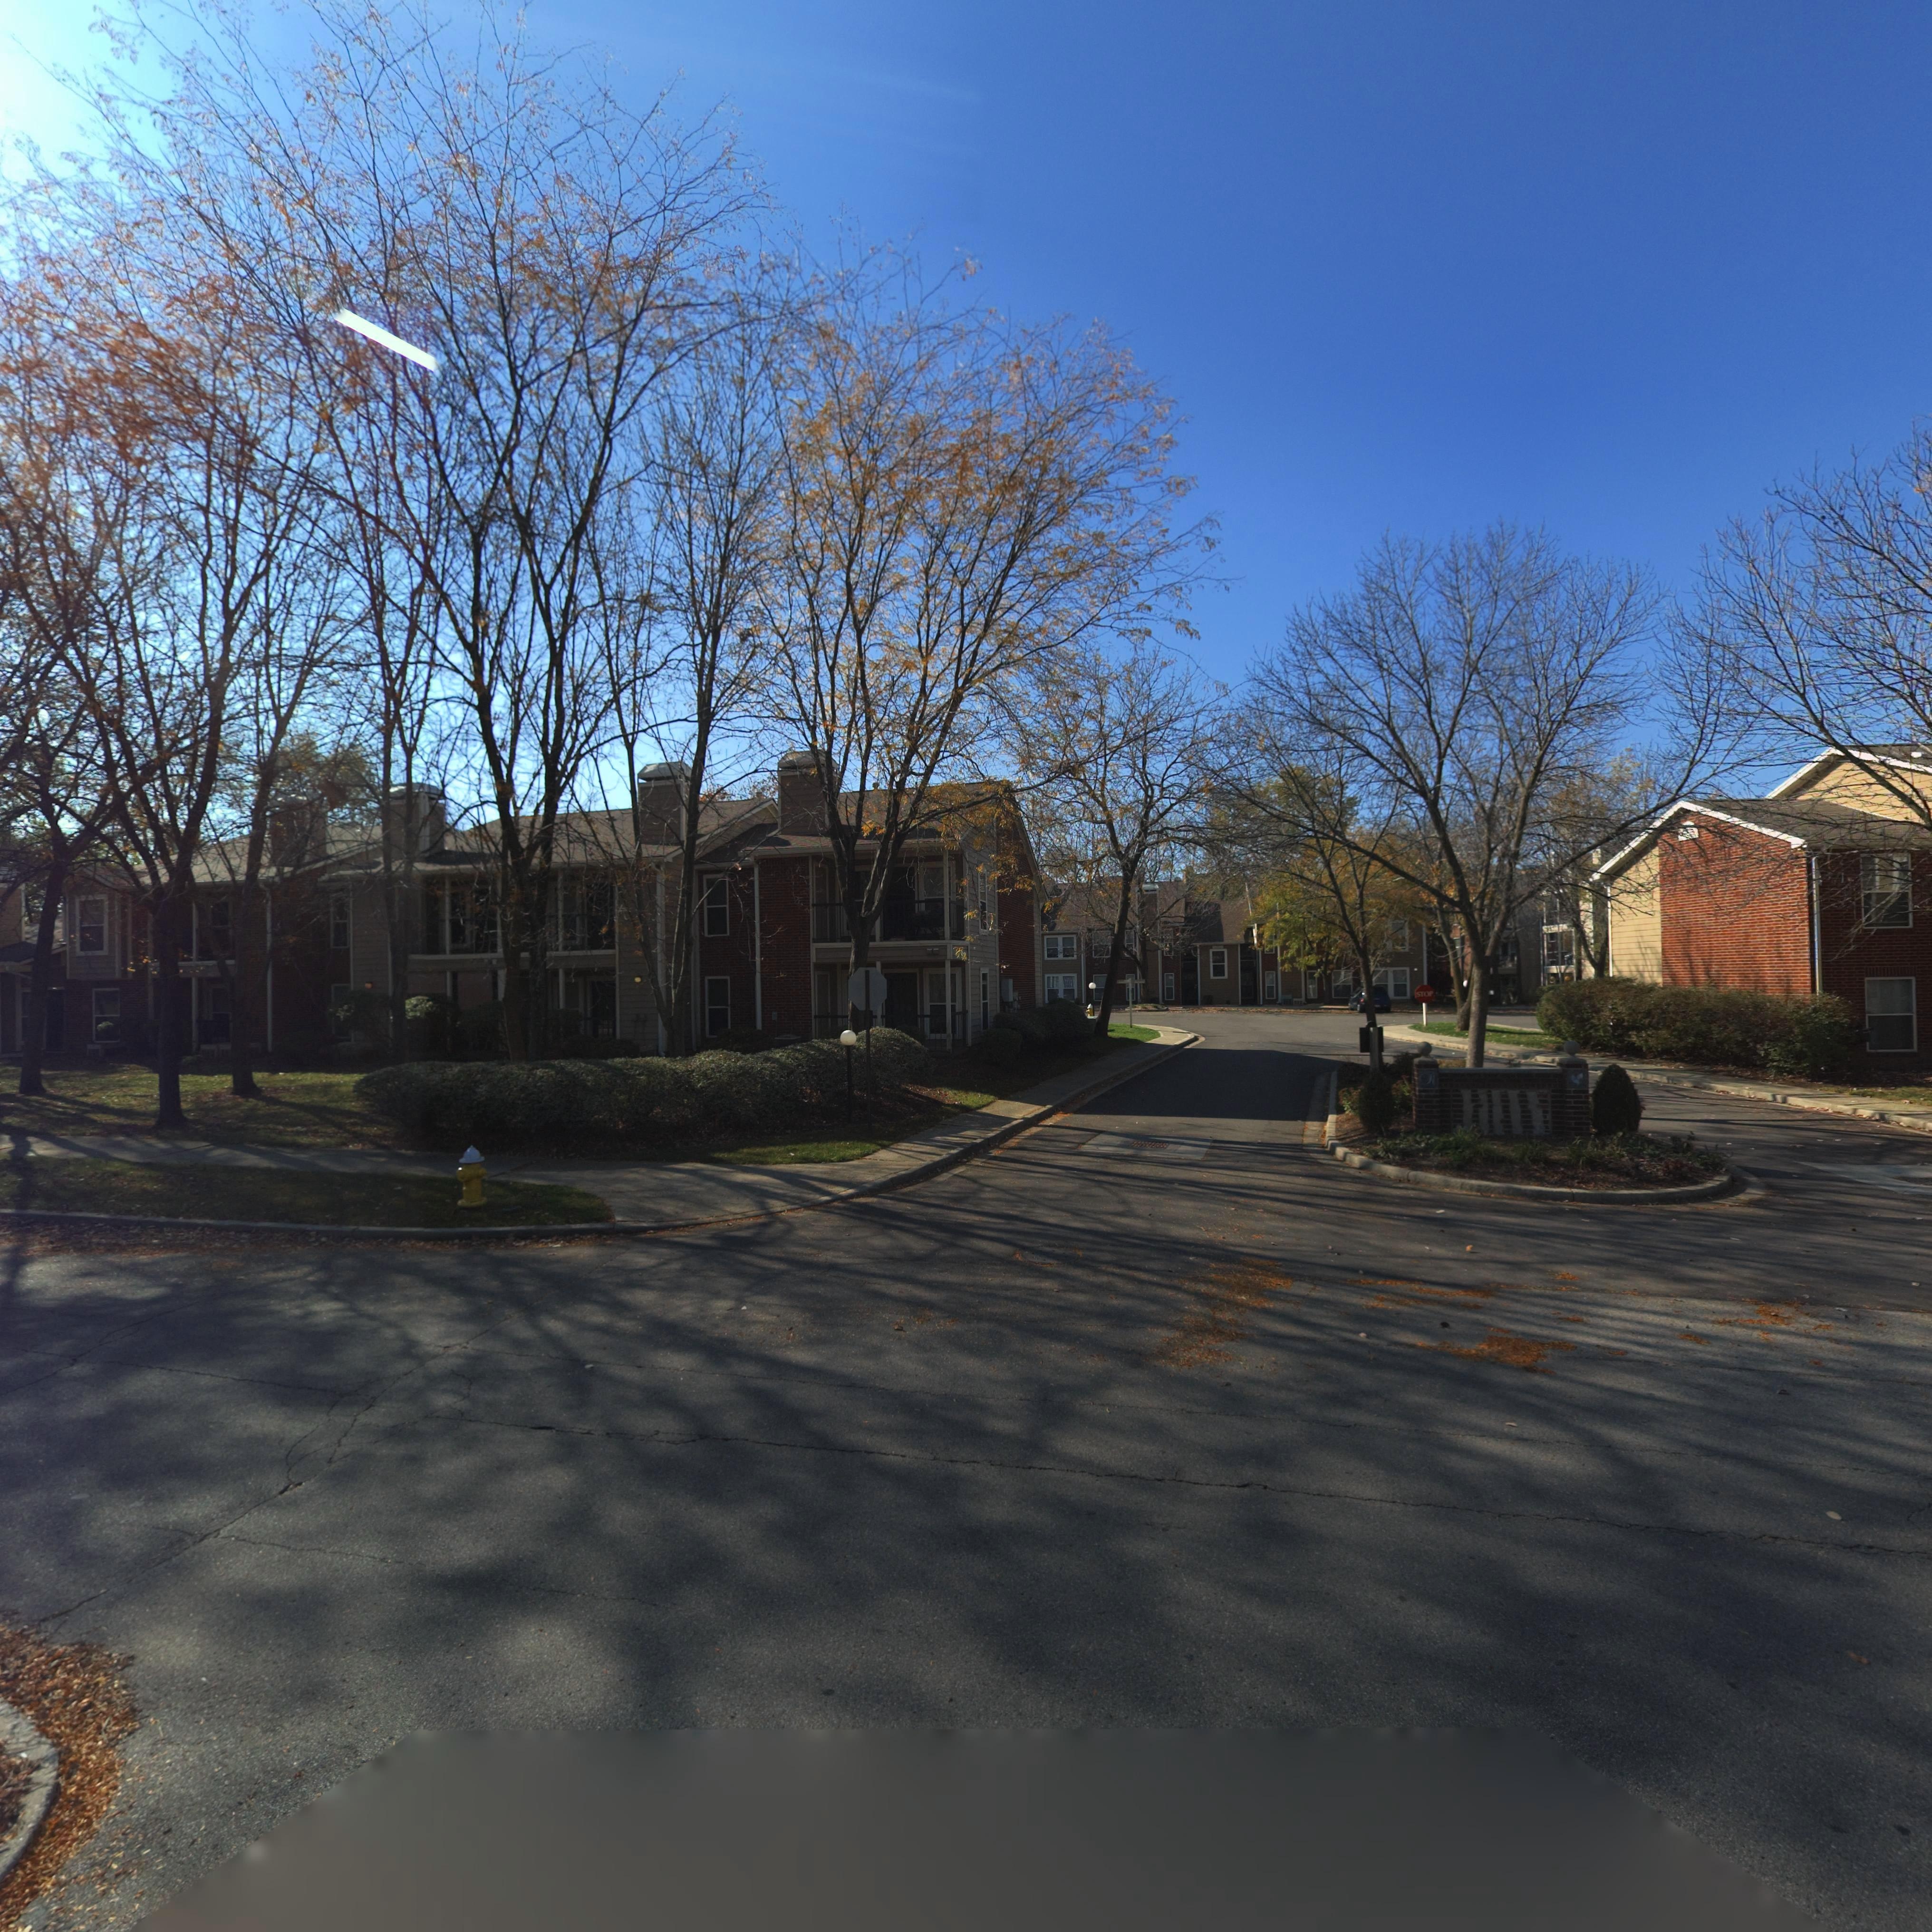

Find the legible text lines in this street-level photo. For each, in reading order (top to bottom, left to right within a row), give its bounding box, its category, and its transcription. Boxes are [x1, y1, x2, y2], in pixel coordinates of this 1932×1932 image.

[1416, 990, 1434, 997] None: STOP